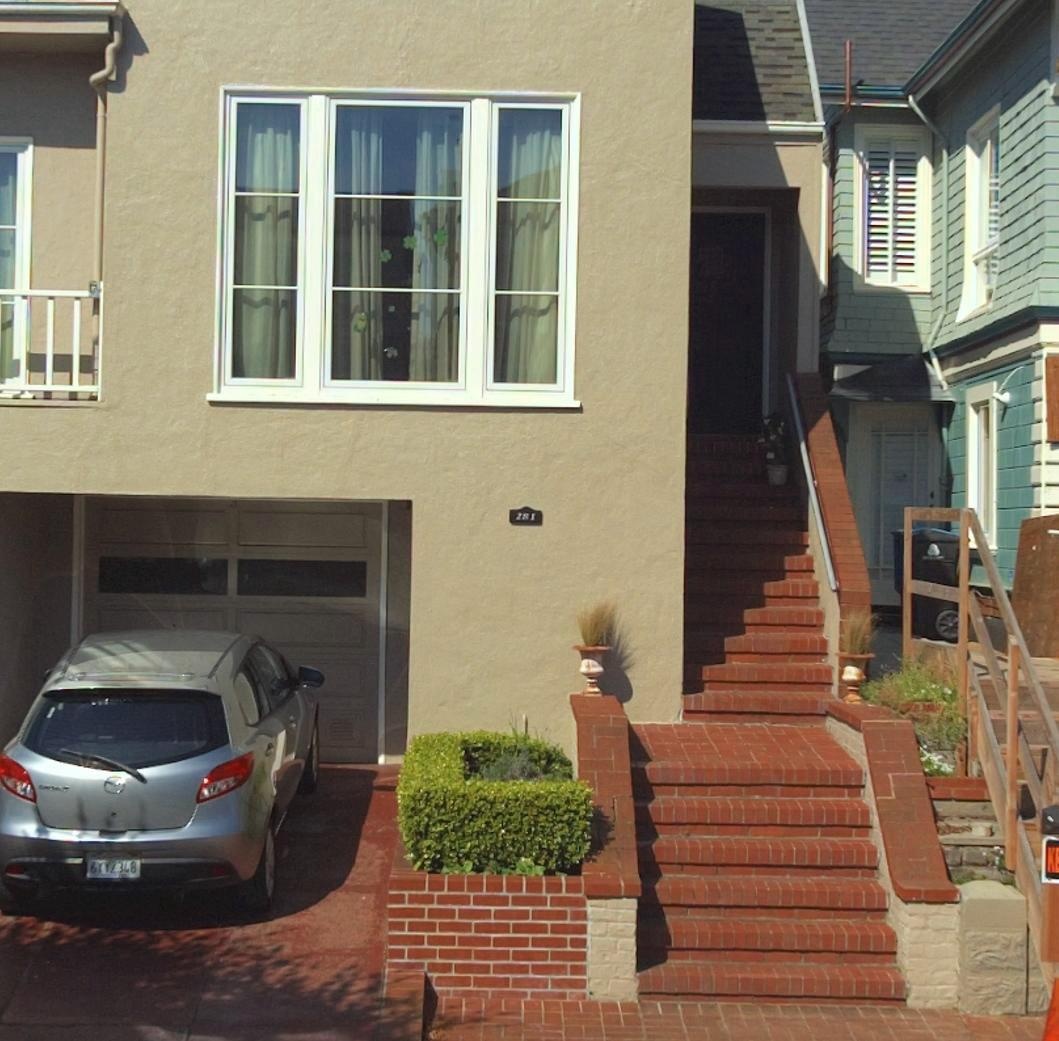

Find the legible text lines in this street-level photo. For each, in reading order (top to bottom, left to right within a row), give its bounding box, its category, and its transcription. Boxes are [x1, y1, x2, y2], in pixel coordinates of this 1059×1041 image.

[514, 510, 537, 523] StreetNumber: 281
[87, 857, 137, 875] None: 6YYZ348